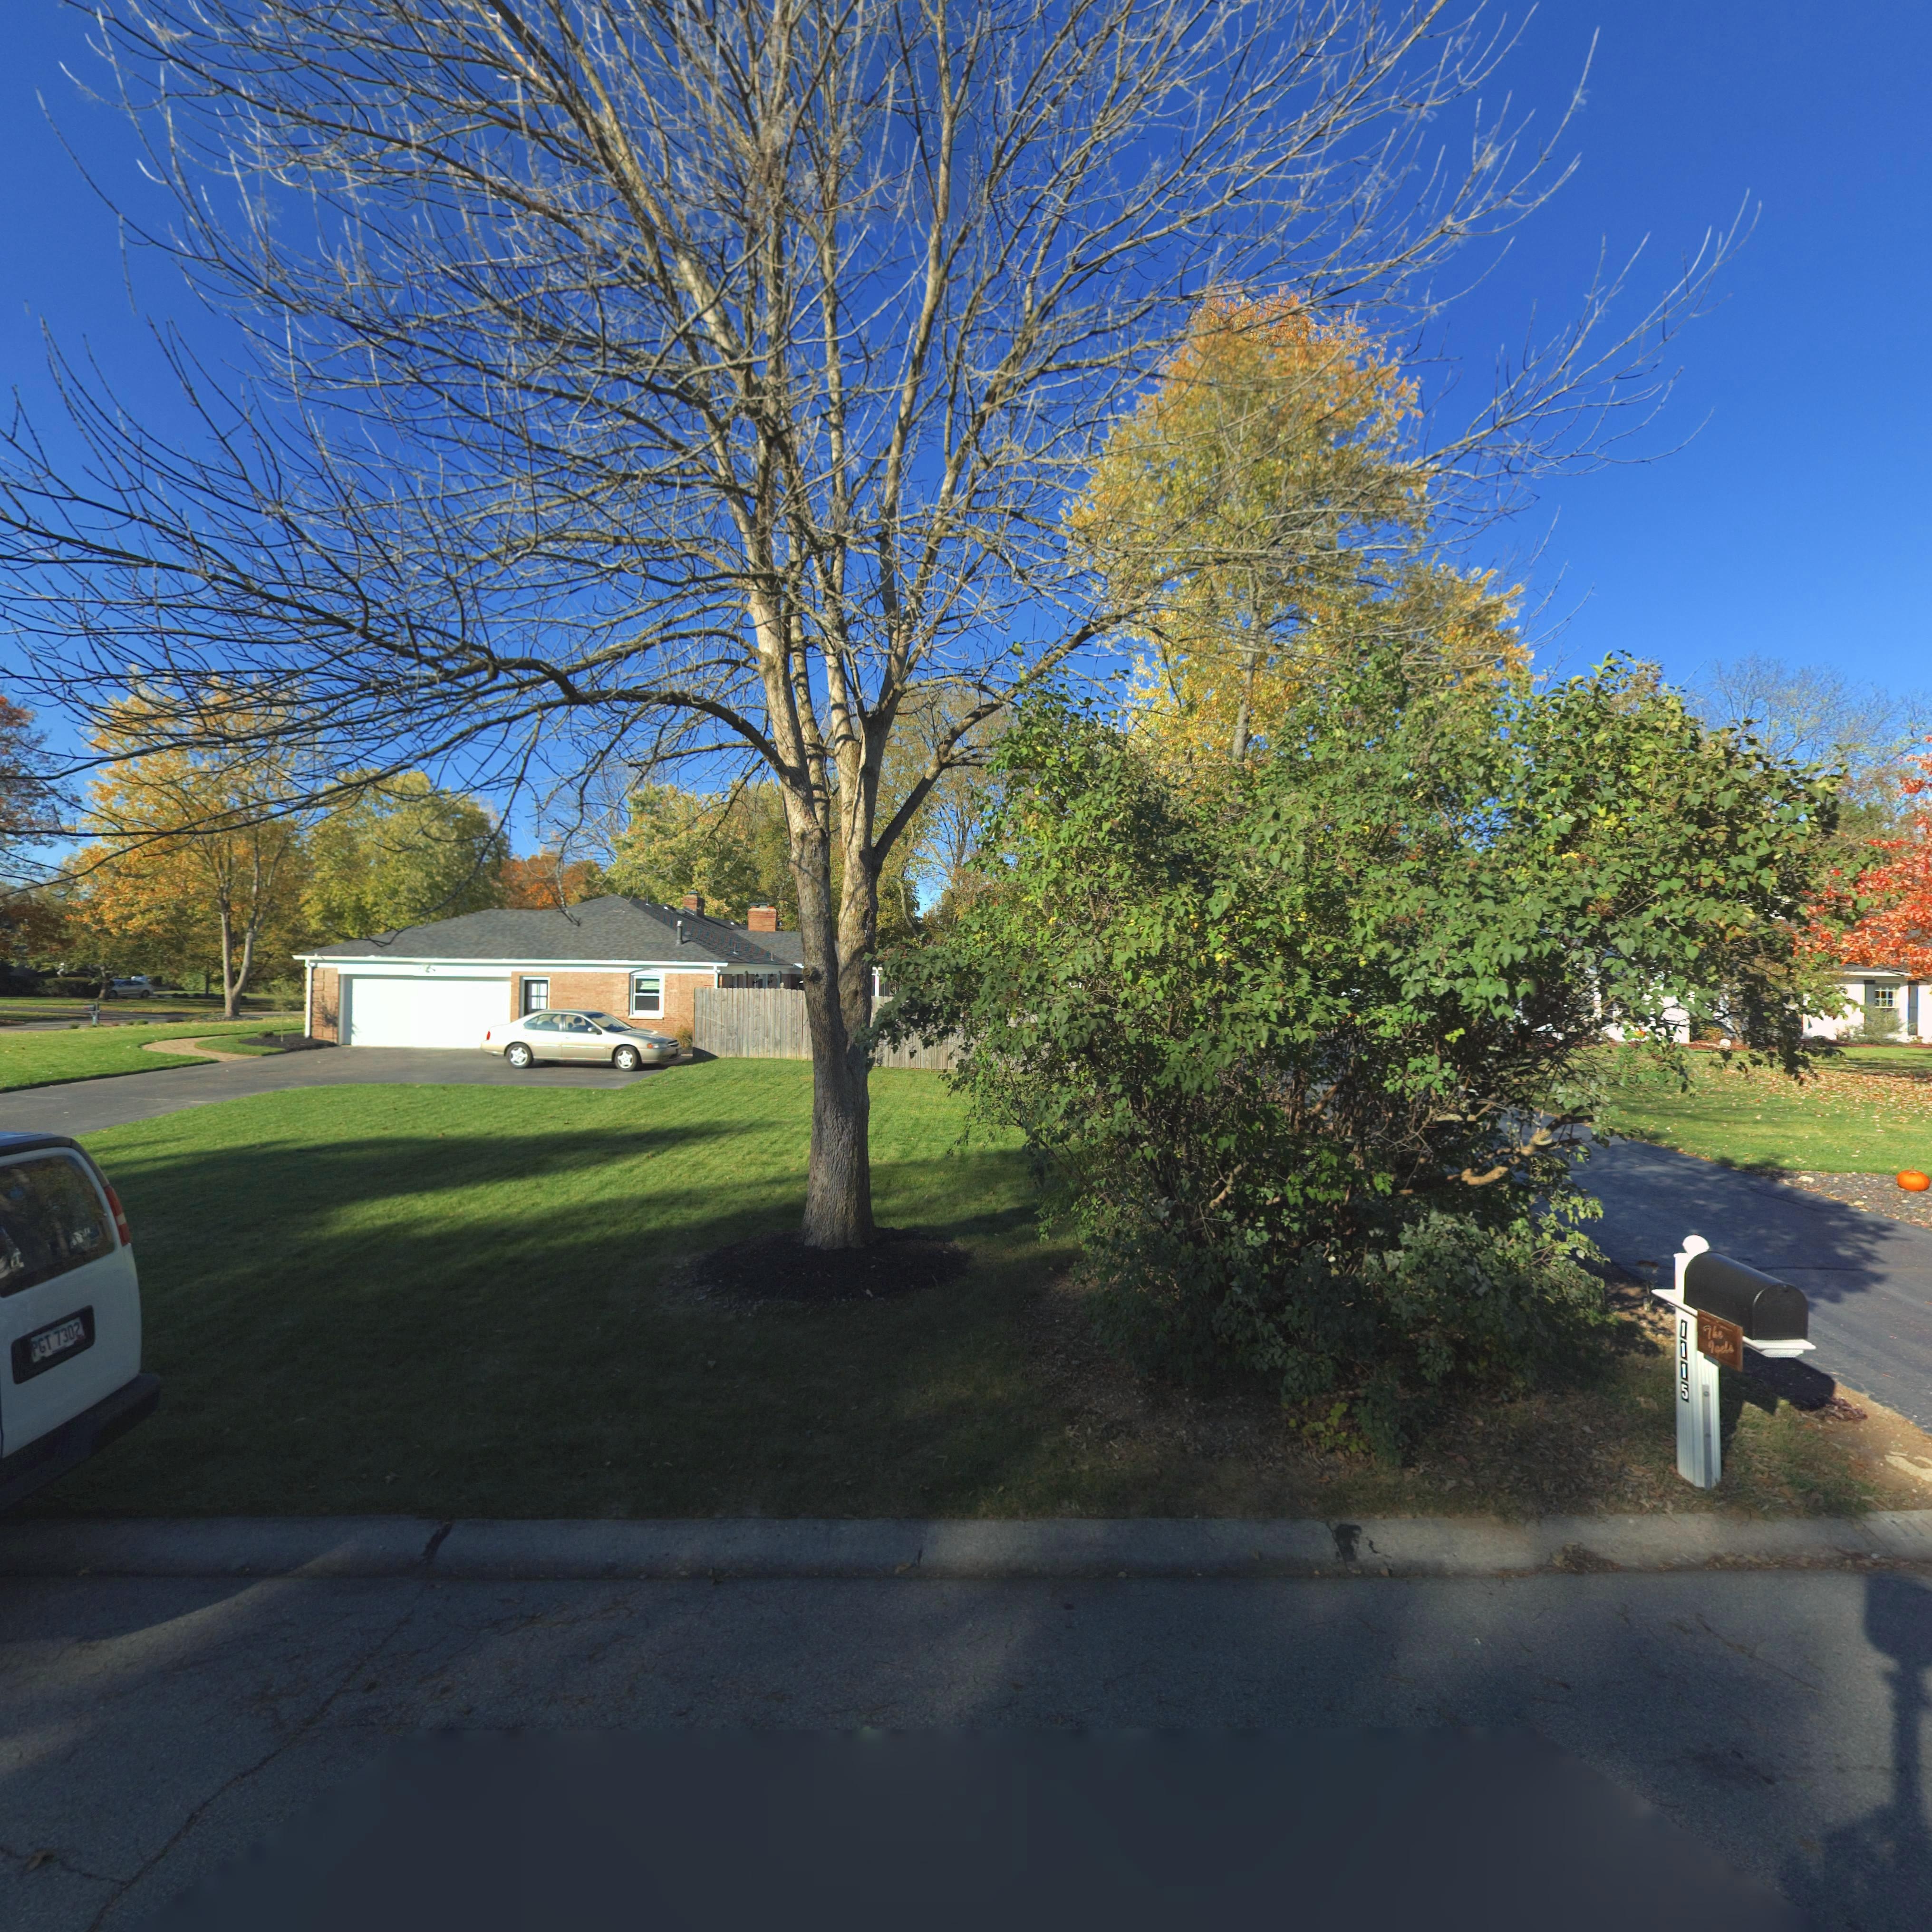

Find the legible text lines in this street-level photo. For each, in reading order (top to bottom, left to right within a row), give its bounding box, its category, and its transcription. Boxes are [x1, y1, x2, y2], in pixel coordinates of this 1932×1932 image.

[1679, 1319, 1690, 1402] StreetNumber: 1115